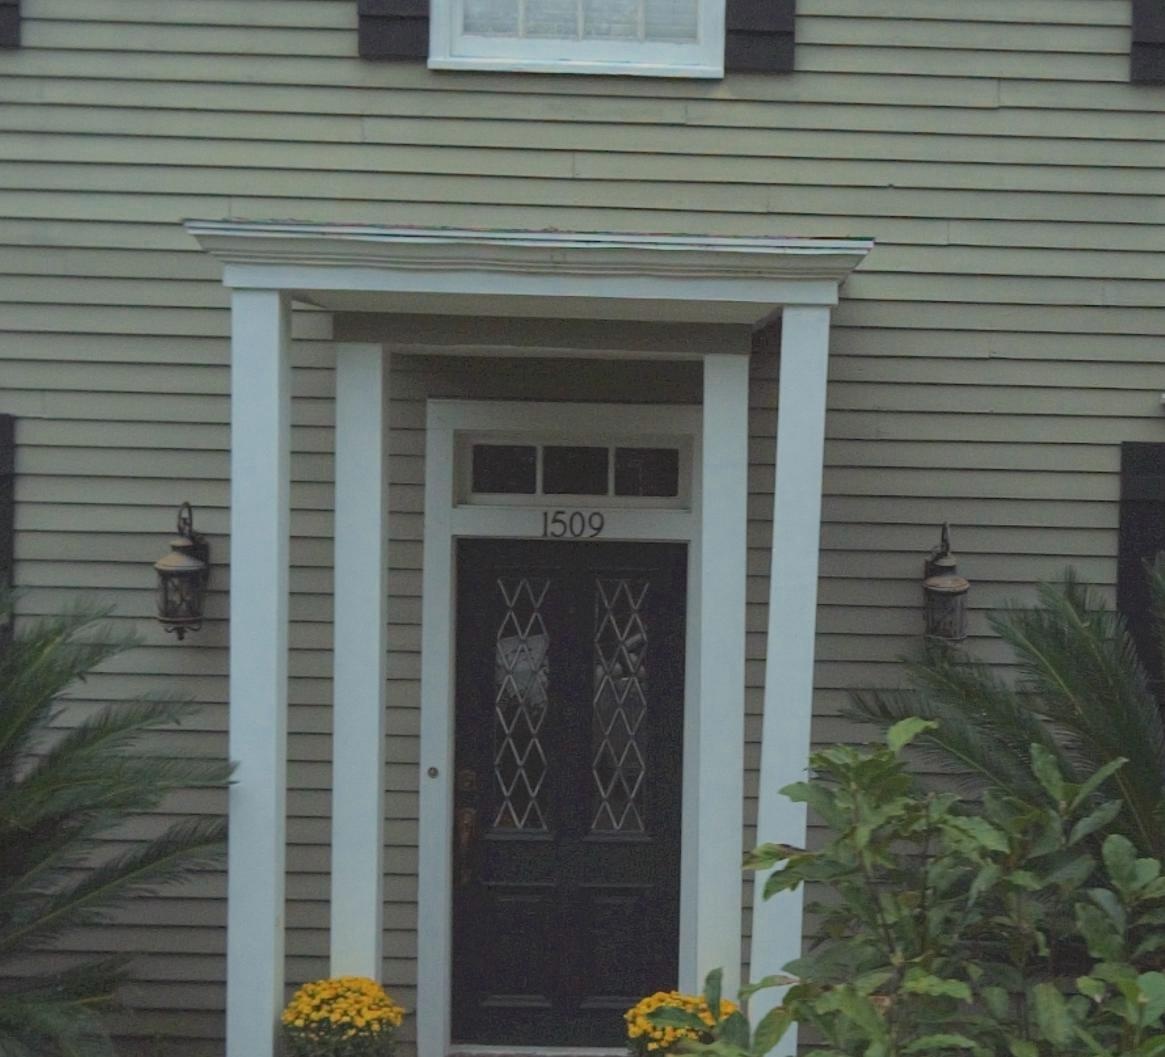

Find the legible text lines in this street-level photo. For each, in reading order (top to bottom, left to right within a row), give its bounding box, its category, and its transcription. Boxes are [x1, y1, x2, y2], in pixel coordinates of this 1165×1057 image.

[539, 509, 605, 539] StreetNumber: 1509